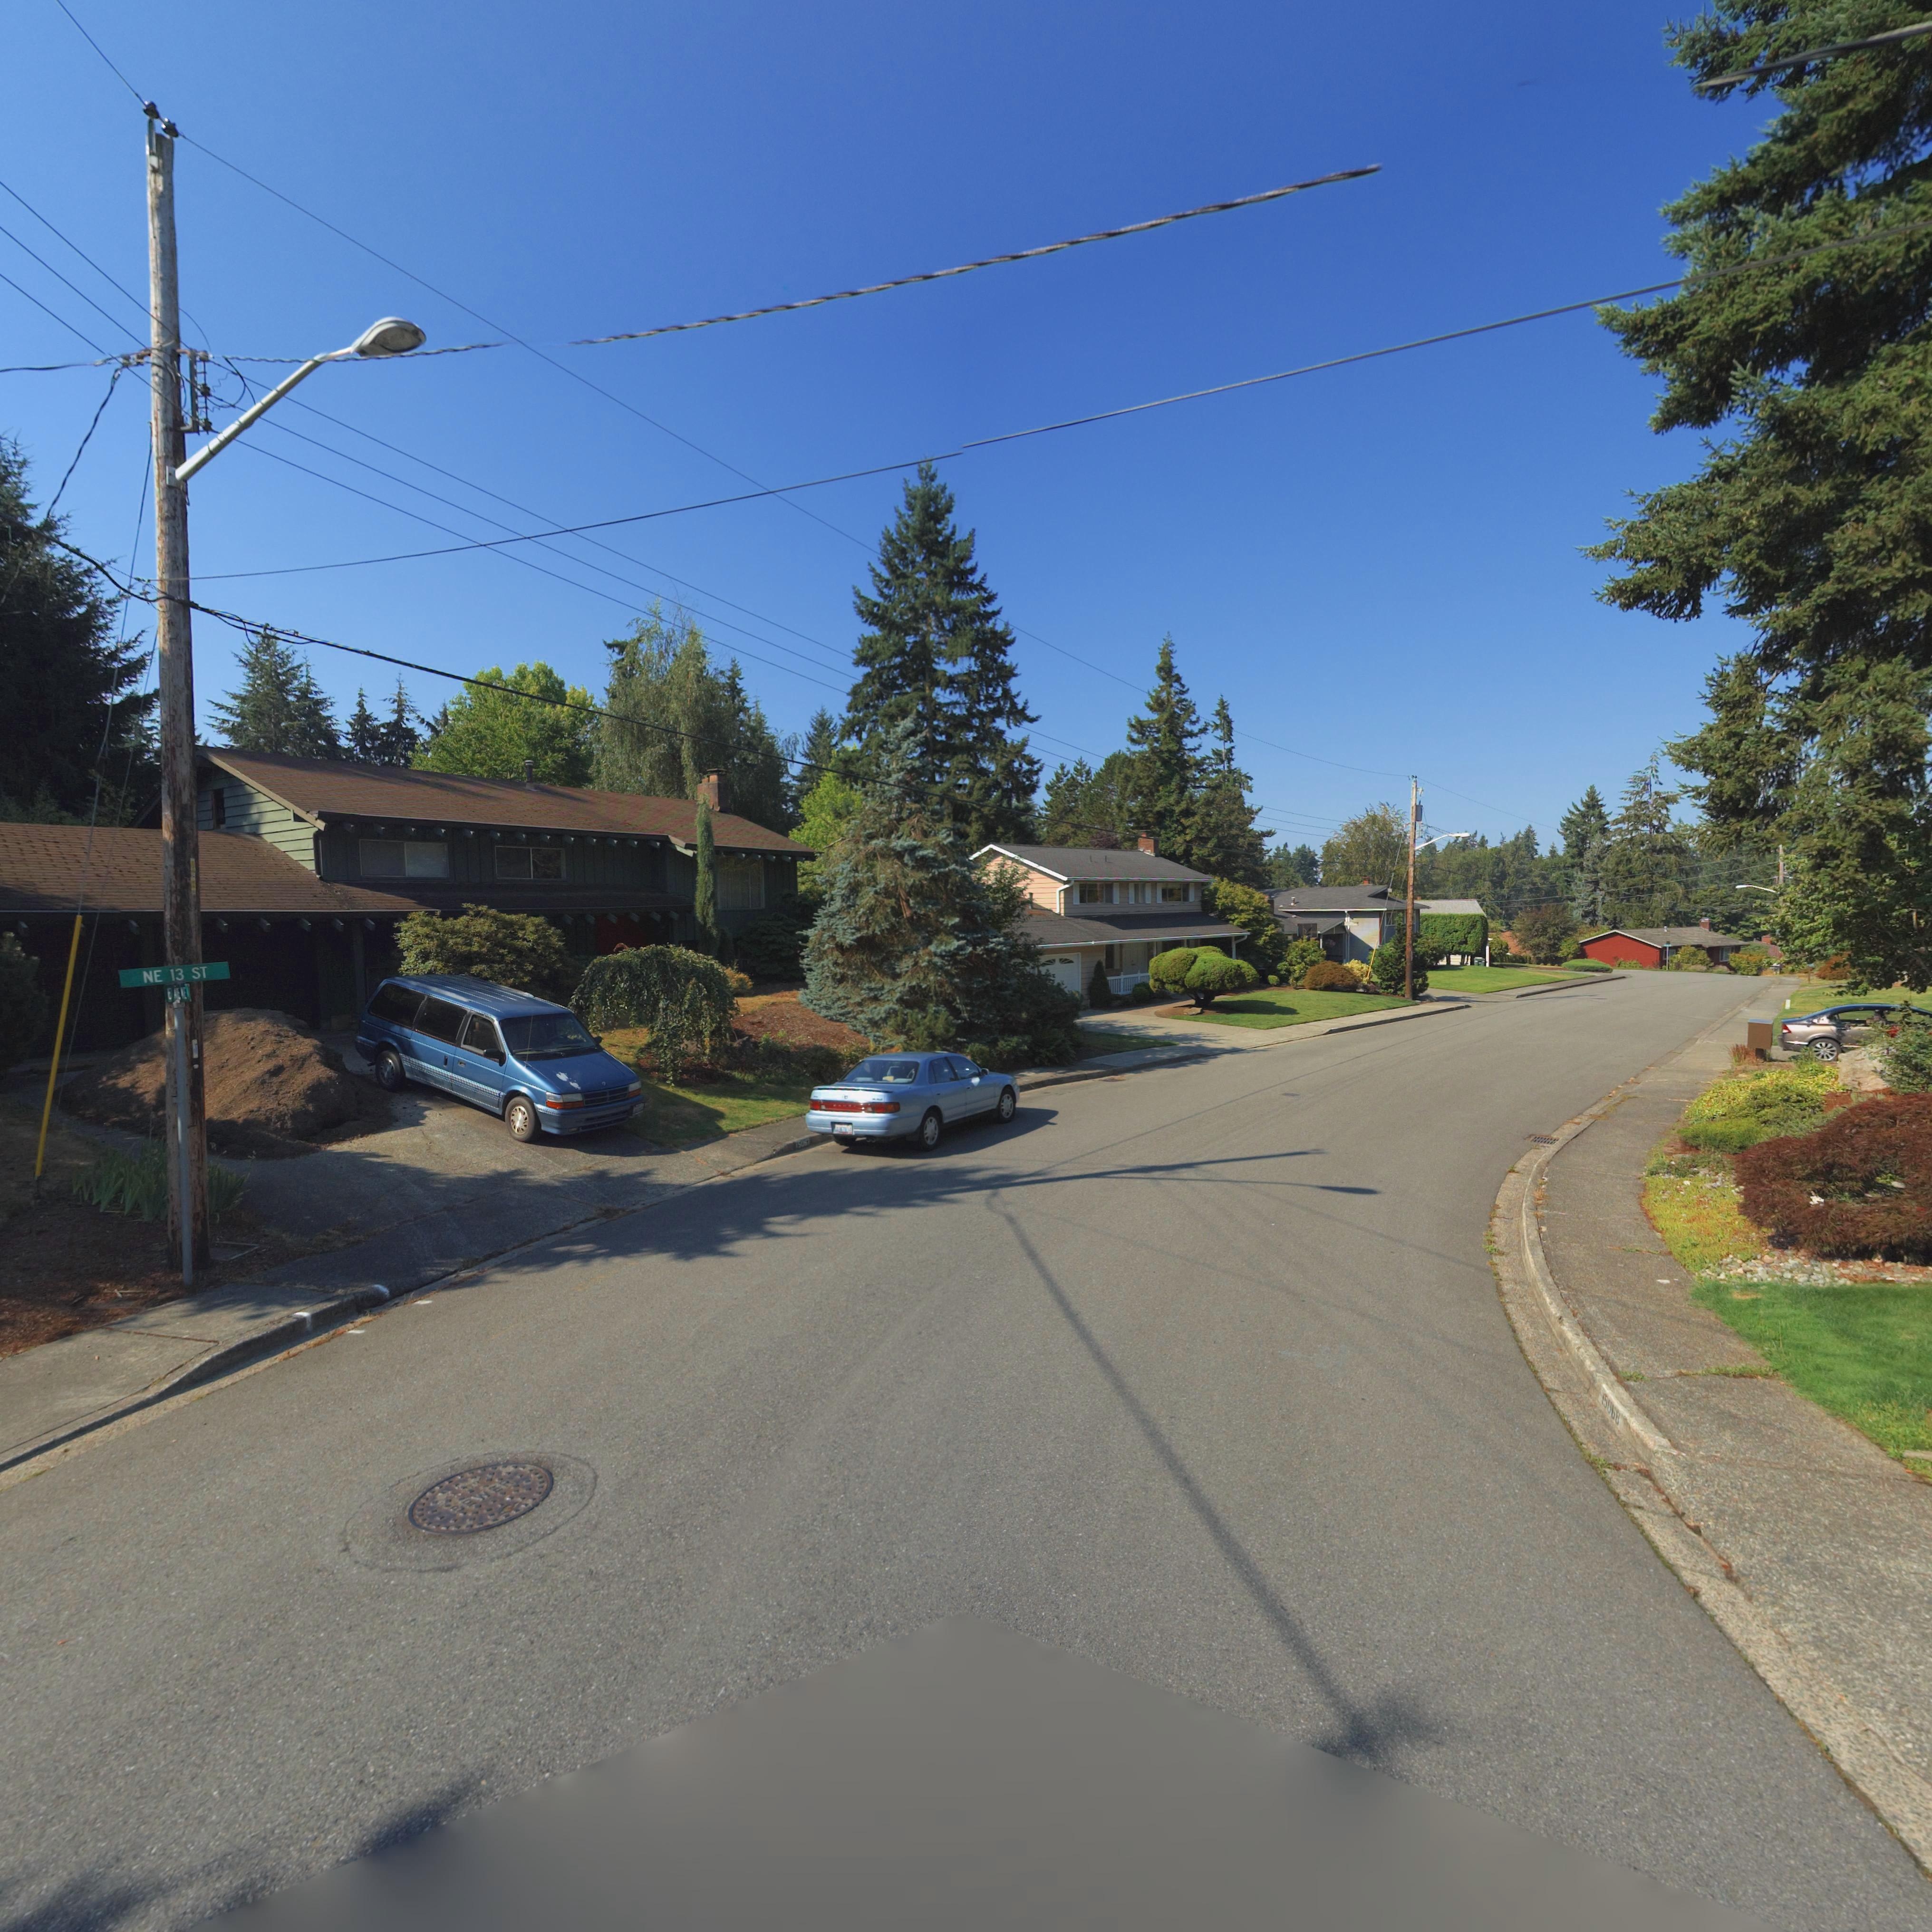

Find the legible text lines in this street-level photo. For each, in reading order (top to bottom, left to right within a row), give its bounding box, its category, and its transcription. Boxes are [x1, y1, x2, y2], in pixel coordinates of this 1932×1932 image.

[143, 966, 207, 983] StreetName: NE 13 ST
[795, 1136, 810, 1150] StreetNumber: 15067